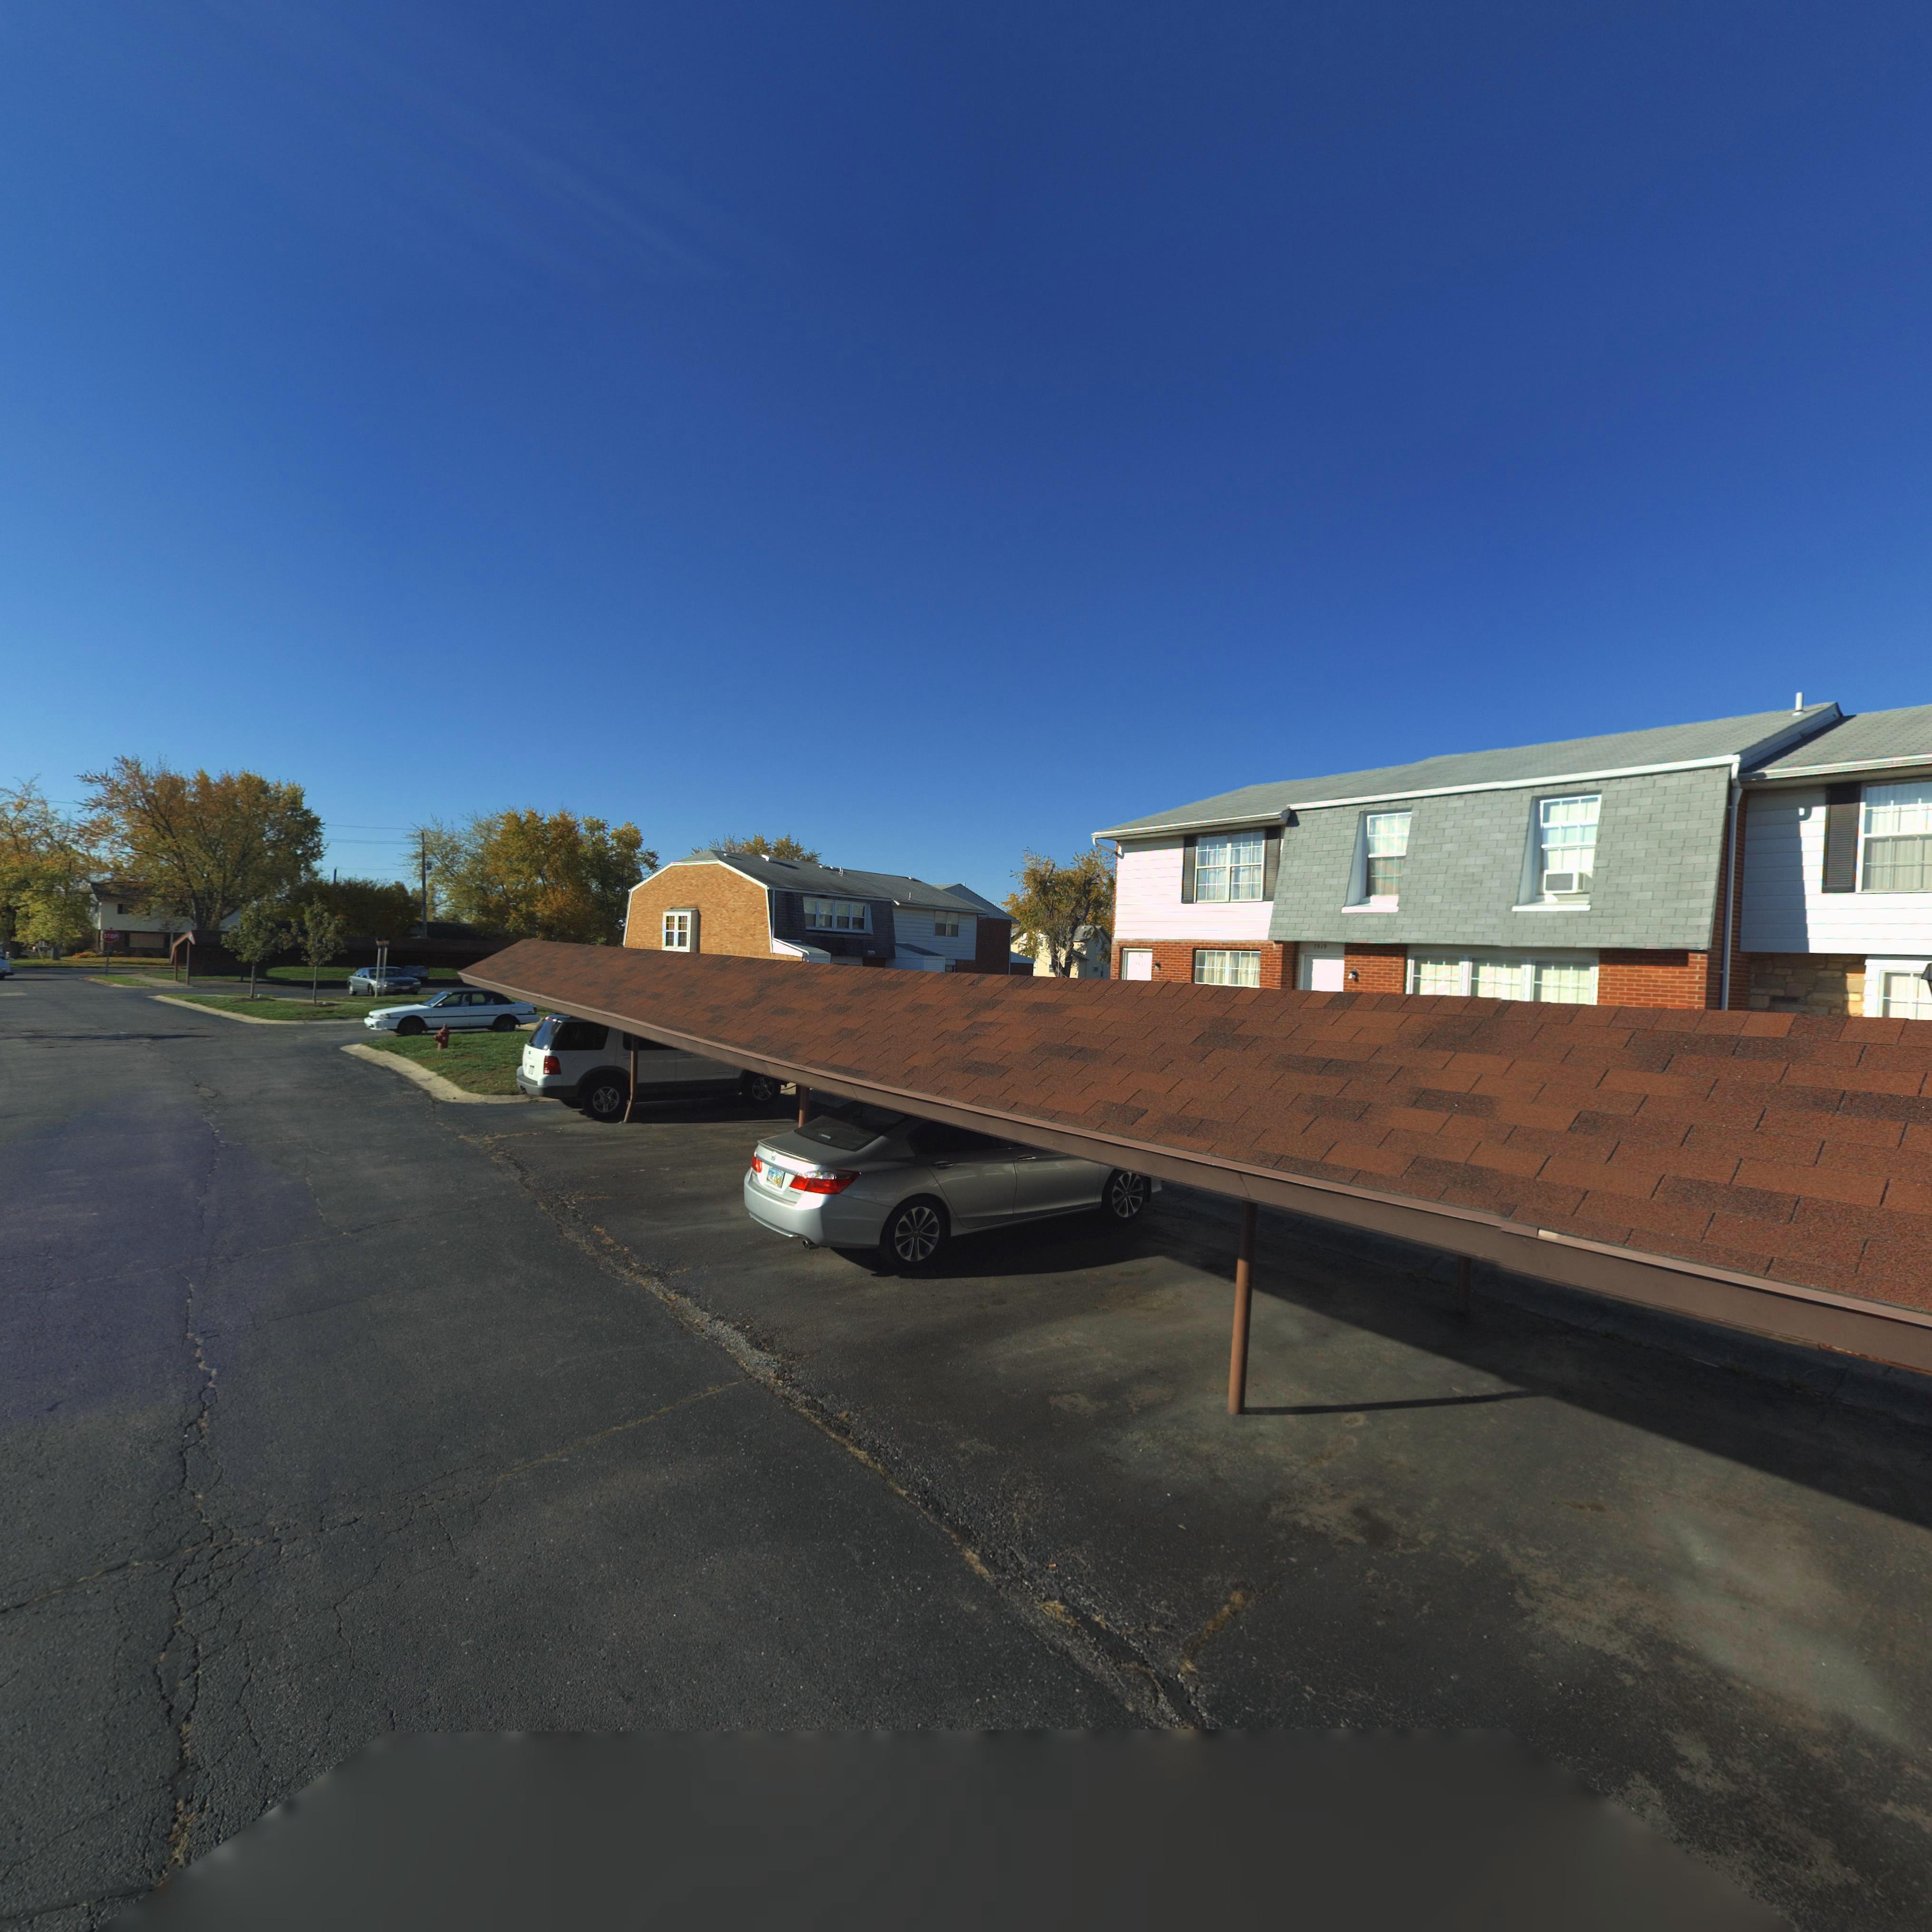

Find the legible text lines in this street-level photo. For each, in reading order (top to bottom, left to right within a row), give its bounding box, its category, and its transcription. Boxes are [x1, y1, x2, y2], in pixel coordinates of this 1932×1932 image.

[1313, 943, 1327, 949] StreetNumber: 7519